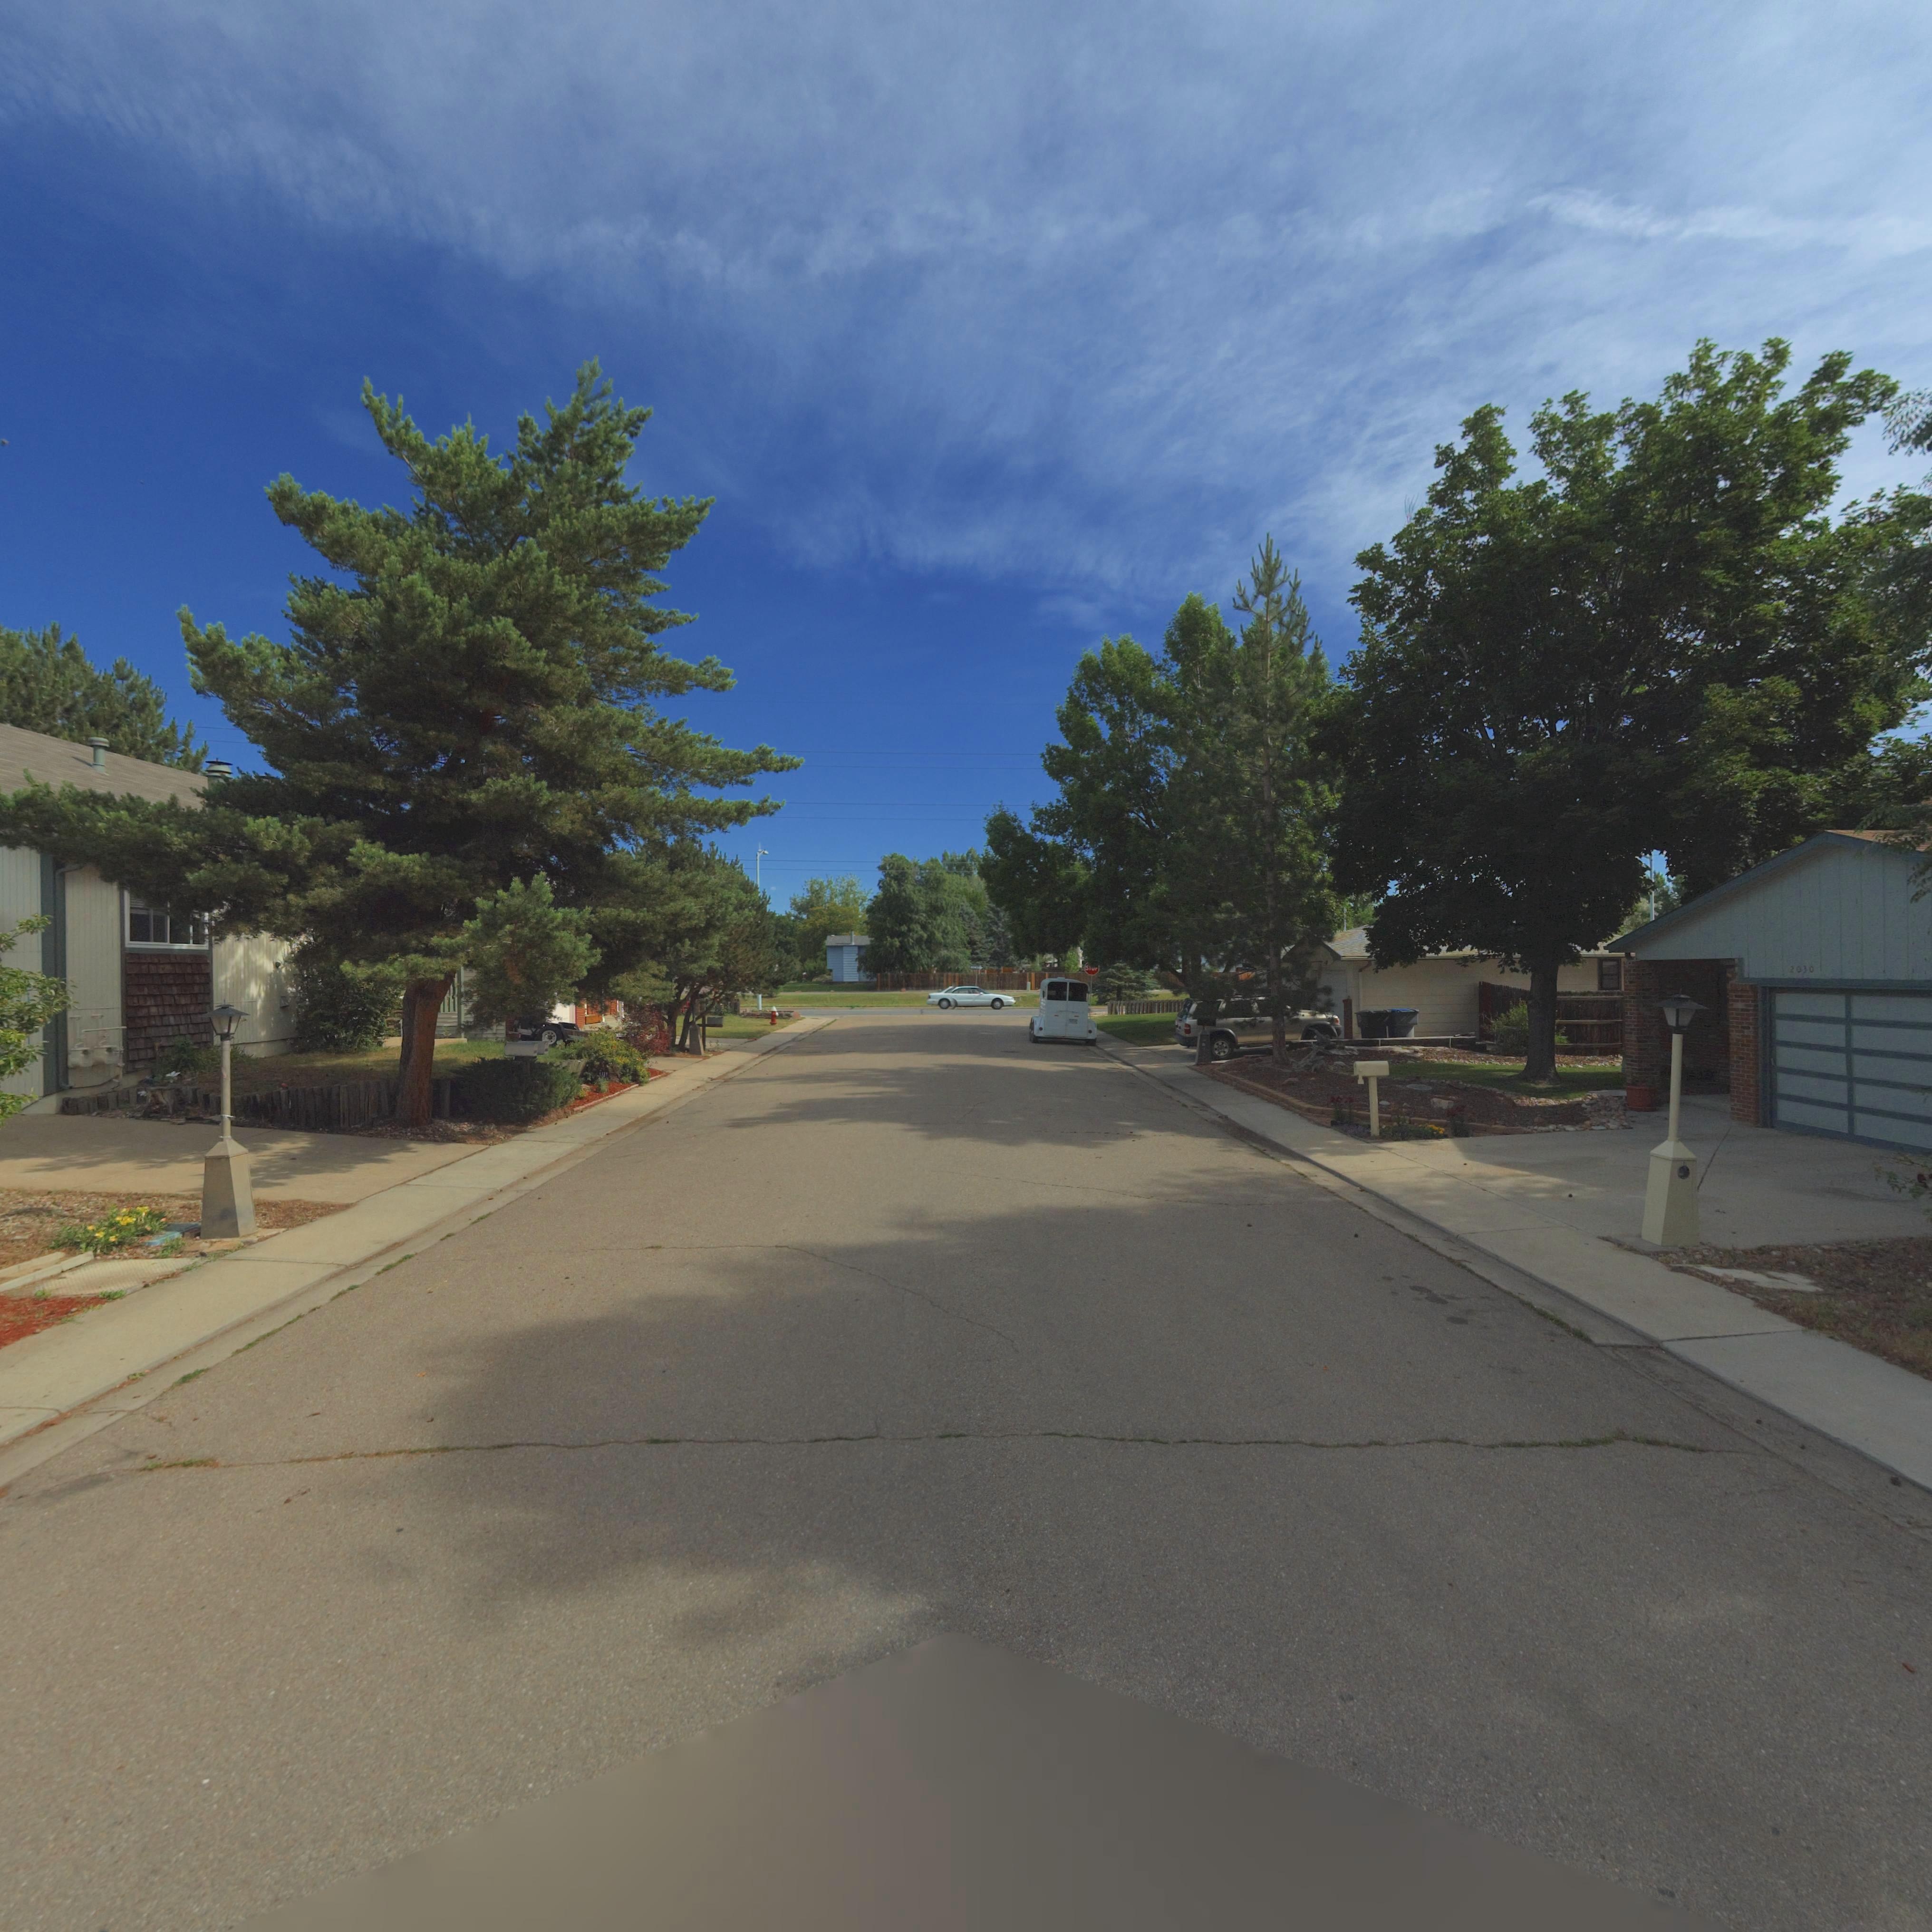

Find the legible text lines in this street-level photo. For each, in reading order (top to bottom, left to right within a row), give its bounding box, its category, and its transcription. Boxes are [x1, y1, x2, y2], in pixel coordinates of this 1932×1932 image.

[1787, 964, 1815, 973] StreetNumber: 2030